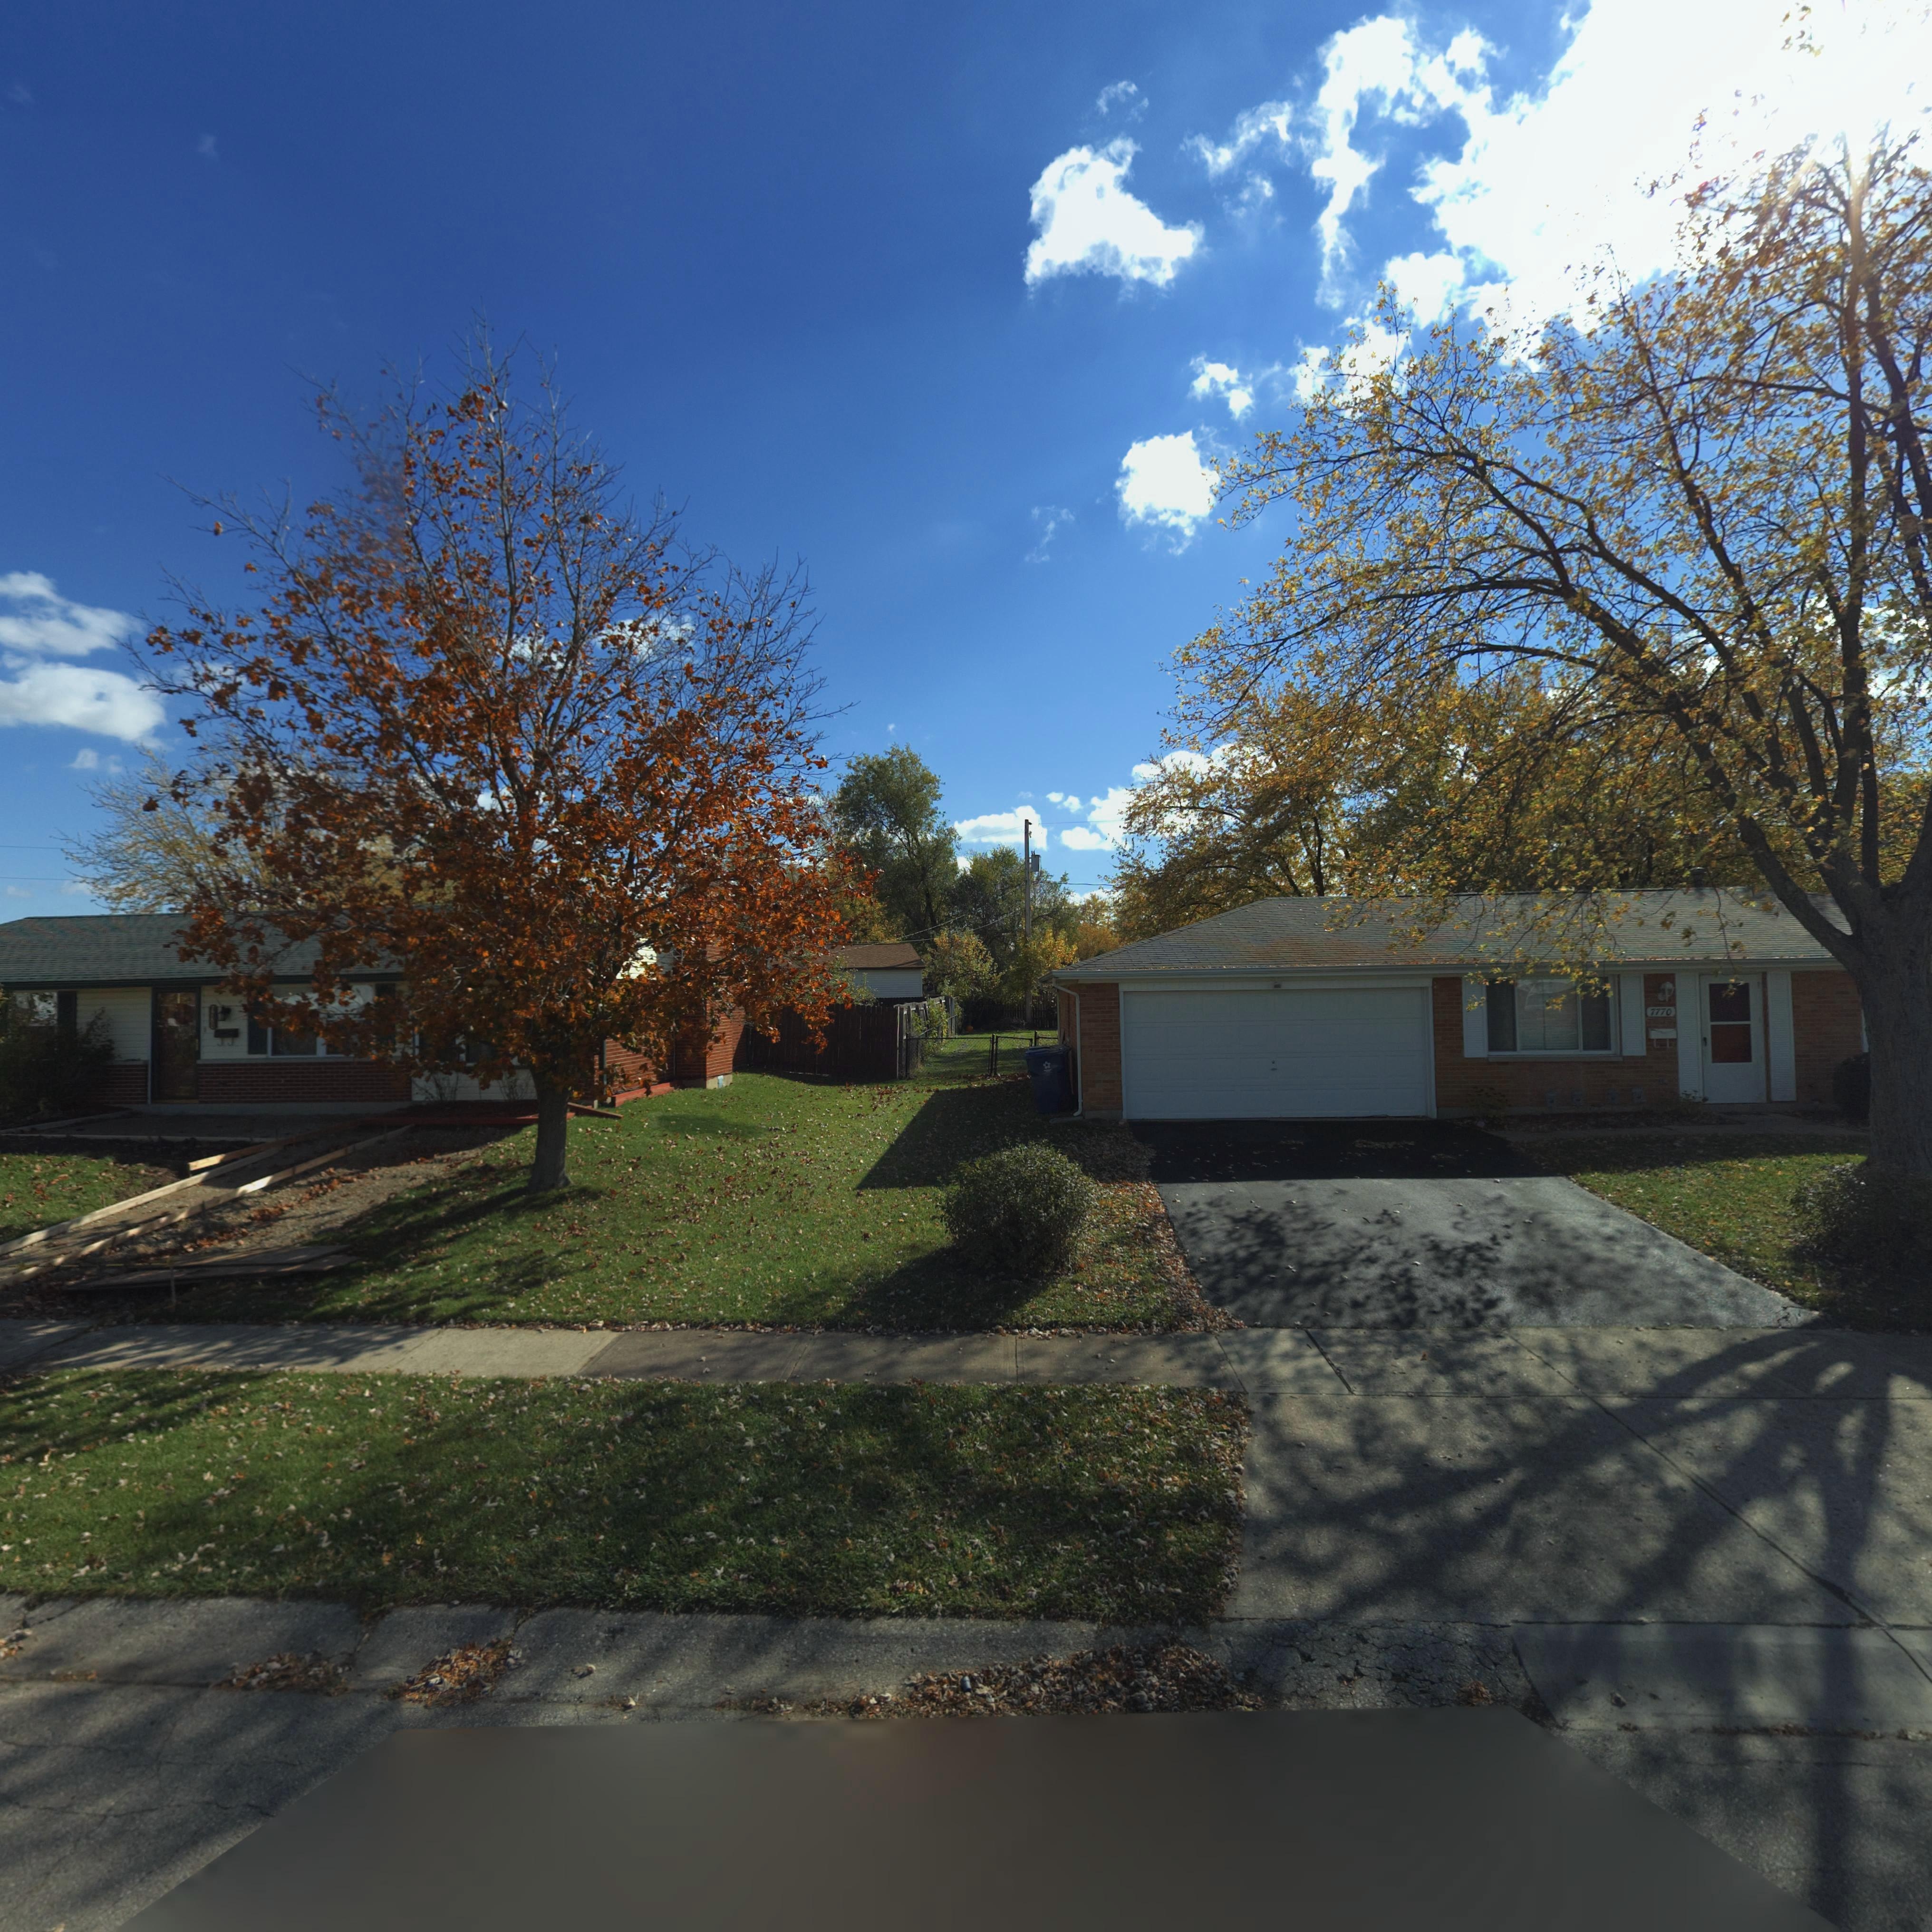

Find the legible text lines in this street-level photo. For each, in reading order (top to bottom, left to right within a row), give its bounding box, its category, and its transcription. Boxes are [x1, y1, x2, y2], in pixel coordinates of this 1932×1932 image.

[210, 1005, 216, 1030] StreetNumber: 7780
[1650, 1008, 1672, 1016] StreetNumber: 7770